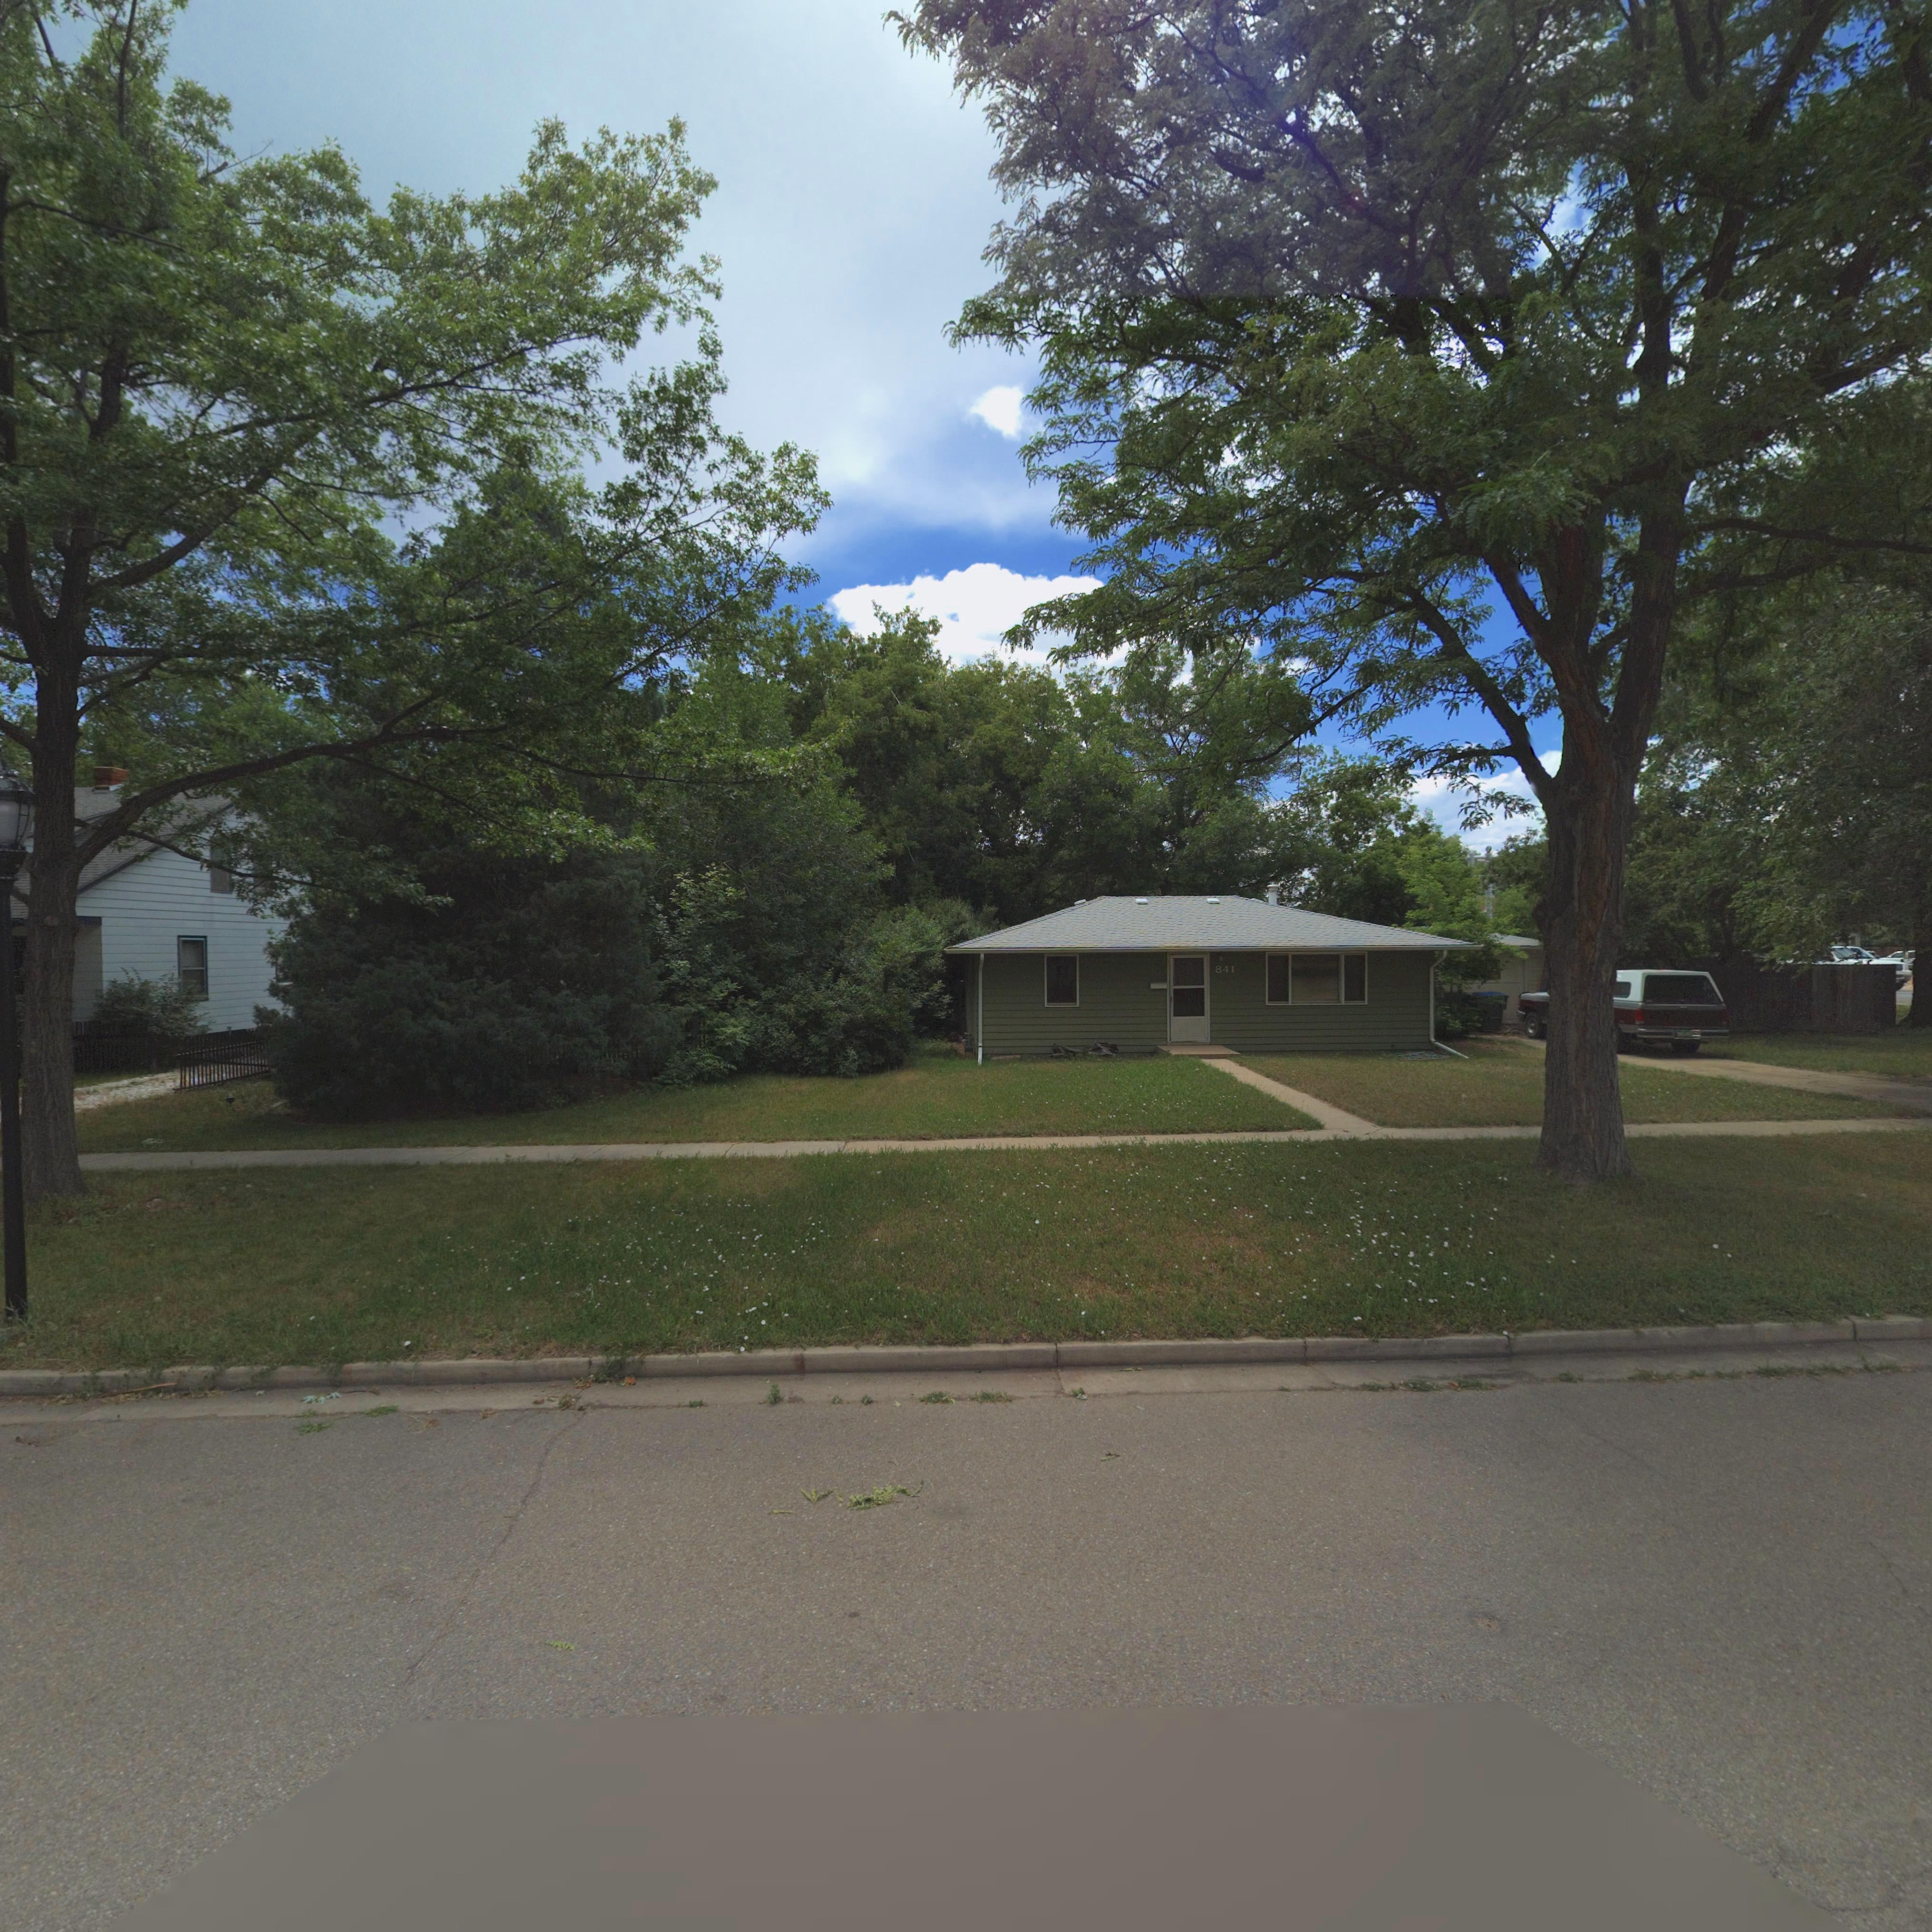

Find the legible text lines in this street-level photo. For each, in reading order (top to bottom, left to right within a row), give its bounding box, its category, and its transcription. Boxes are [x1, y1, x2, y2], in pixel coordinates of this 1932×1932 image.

[1214, 965, 1235, 974] StreetNumber: 841